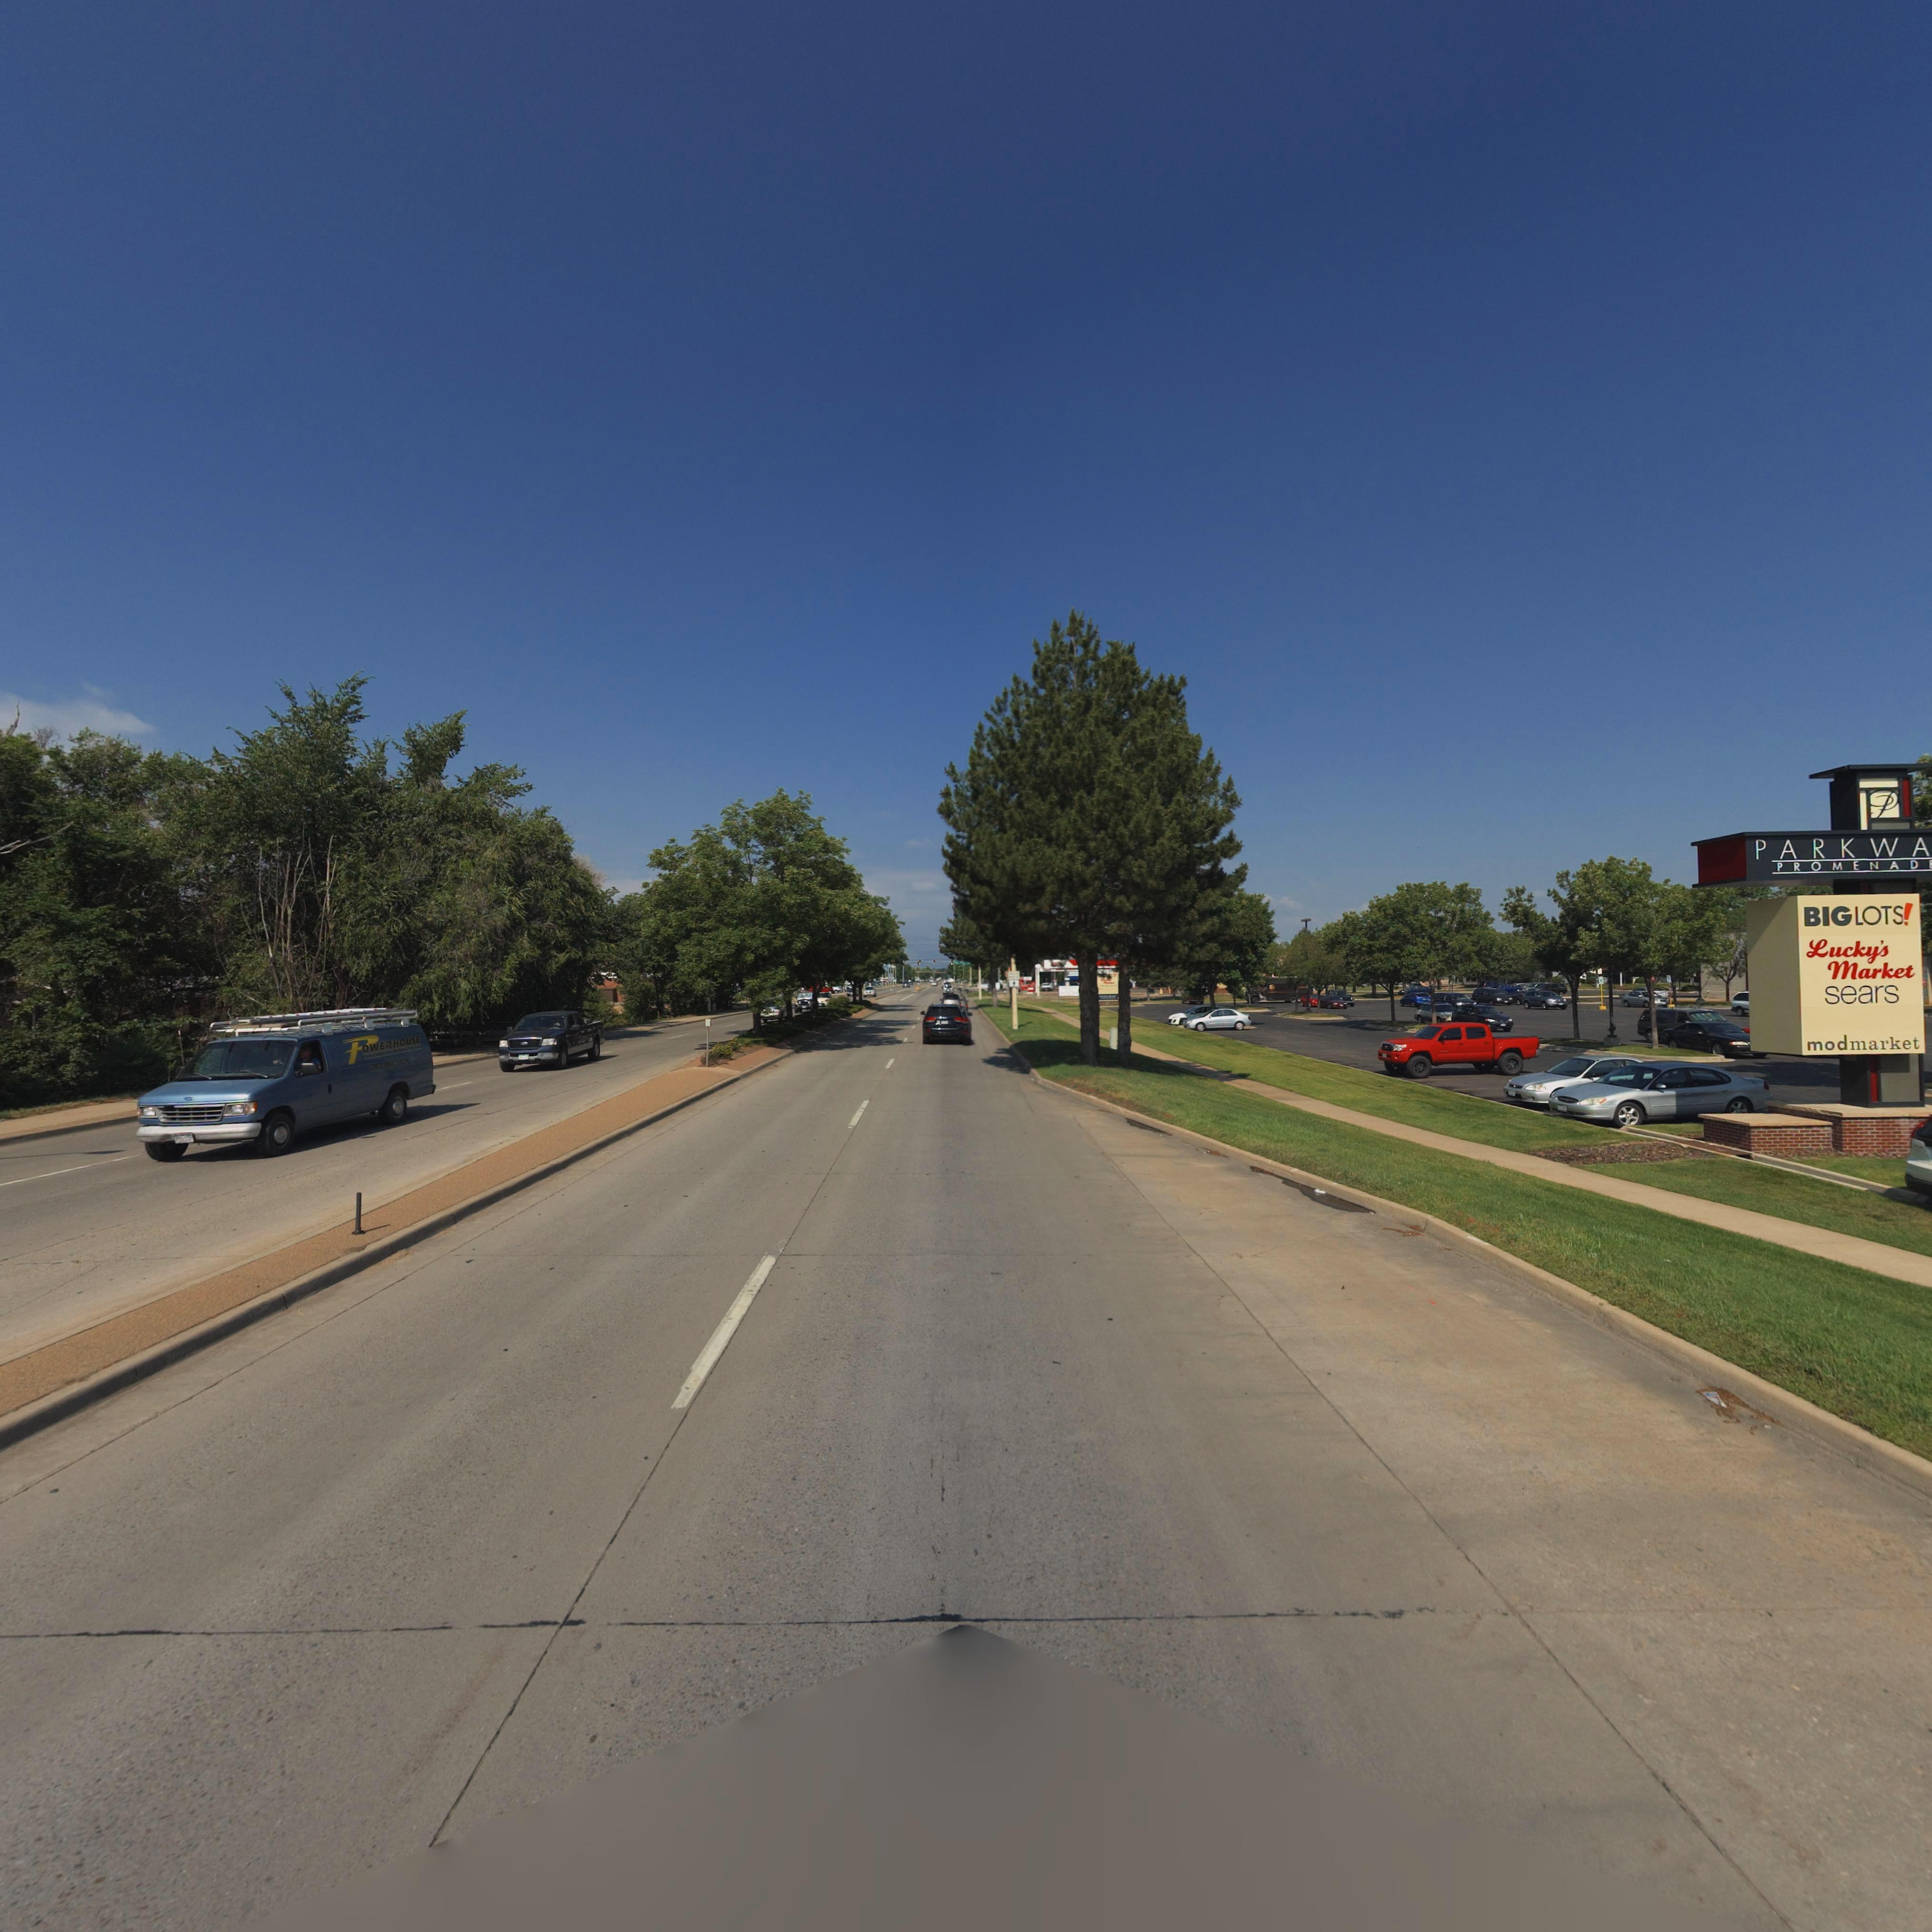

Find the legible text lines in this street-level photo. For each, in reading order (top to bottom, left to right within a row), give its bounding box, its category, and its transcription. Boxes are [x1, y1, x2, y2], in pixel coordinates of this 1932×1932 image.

[1804, 902, 1914, 927] BusinessName: BIG LOTS!
[1805, 937, 1889, 965] BusinessName: Lucky's
[1826, 959, 1916, 981] BusinessName: Market
[1823, 984, 1900, 1005] BusinessName: sears
[1806, 1033, 1921, 1051] BusinessName: modmarket